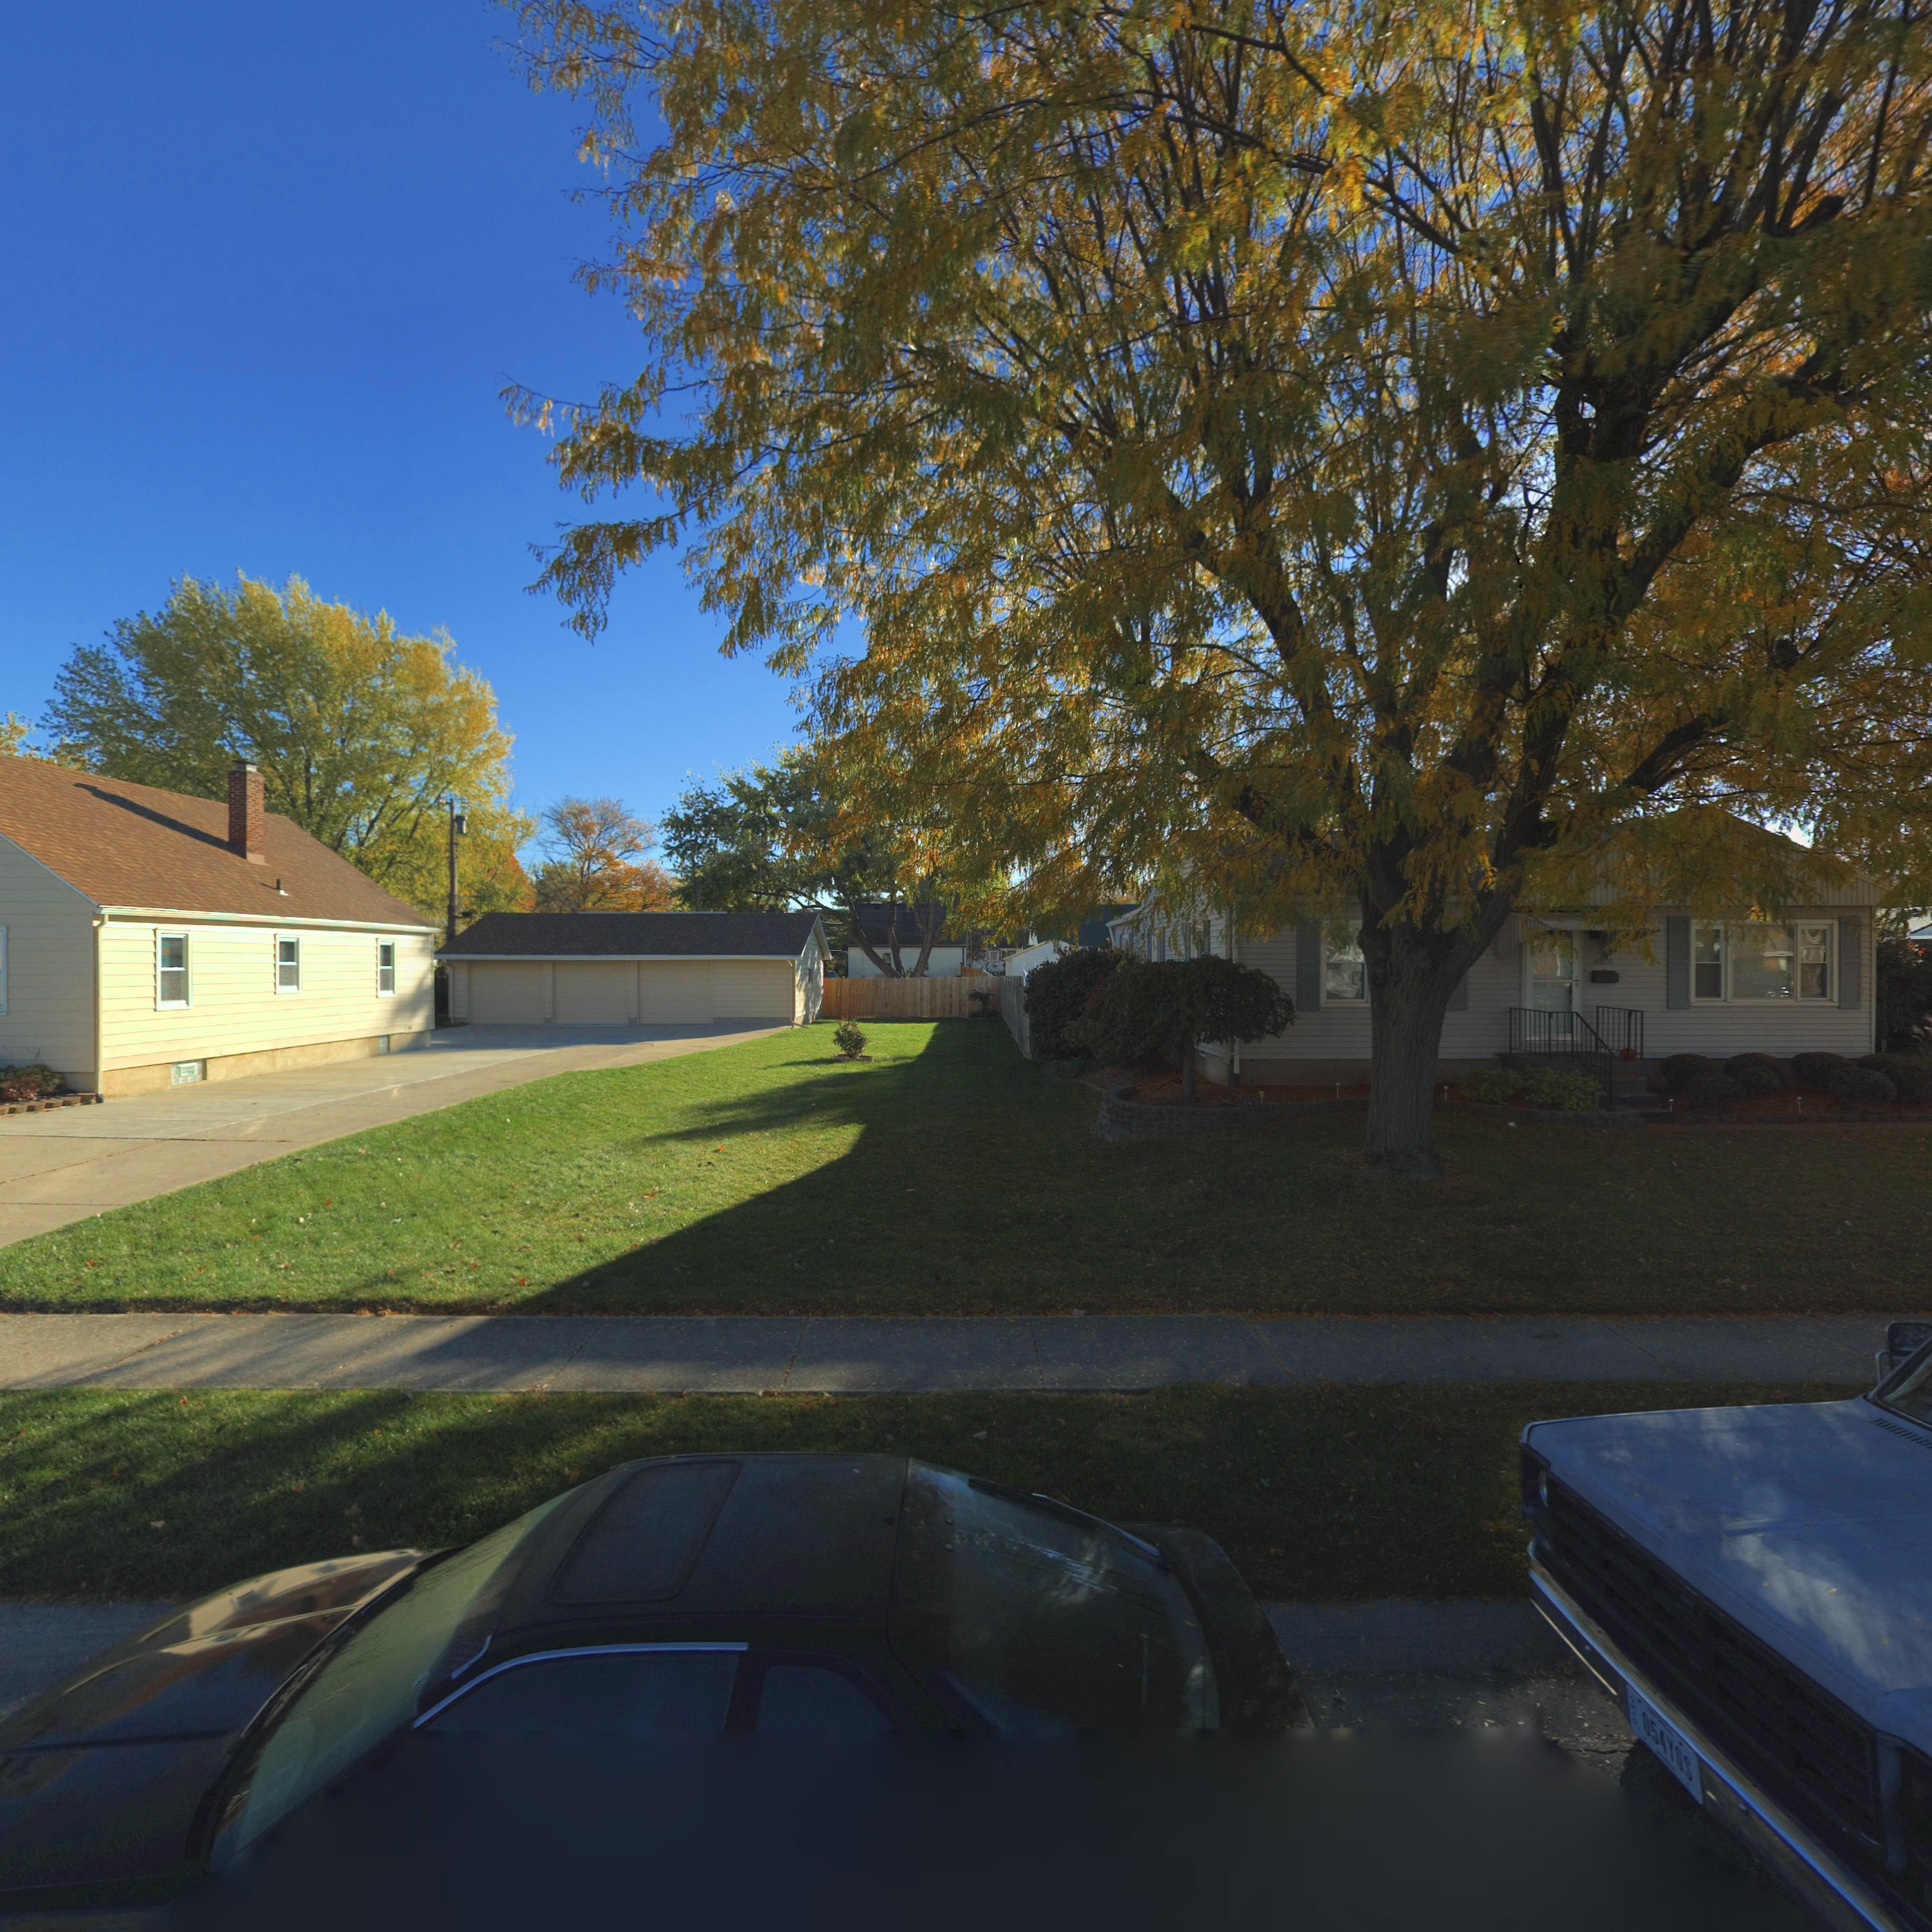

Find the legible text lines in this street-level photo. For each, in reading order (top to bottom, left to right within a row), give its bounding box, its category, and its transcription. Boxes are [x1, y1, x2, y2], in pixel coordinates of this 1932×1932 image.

[1593, 957, 1613, 966] StreetNumber: 4920